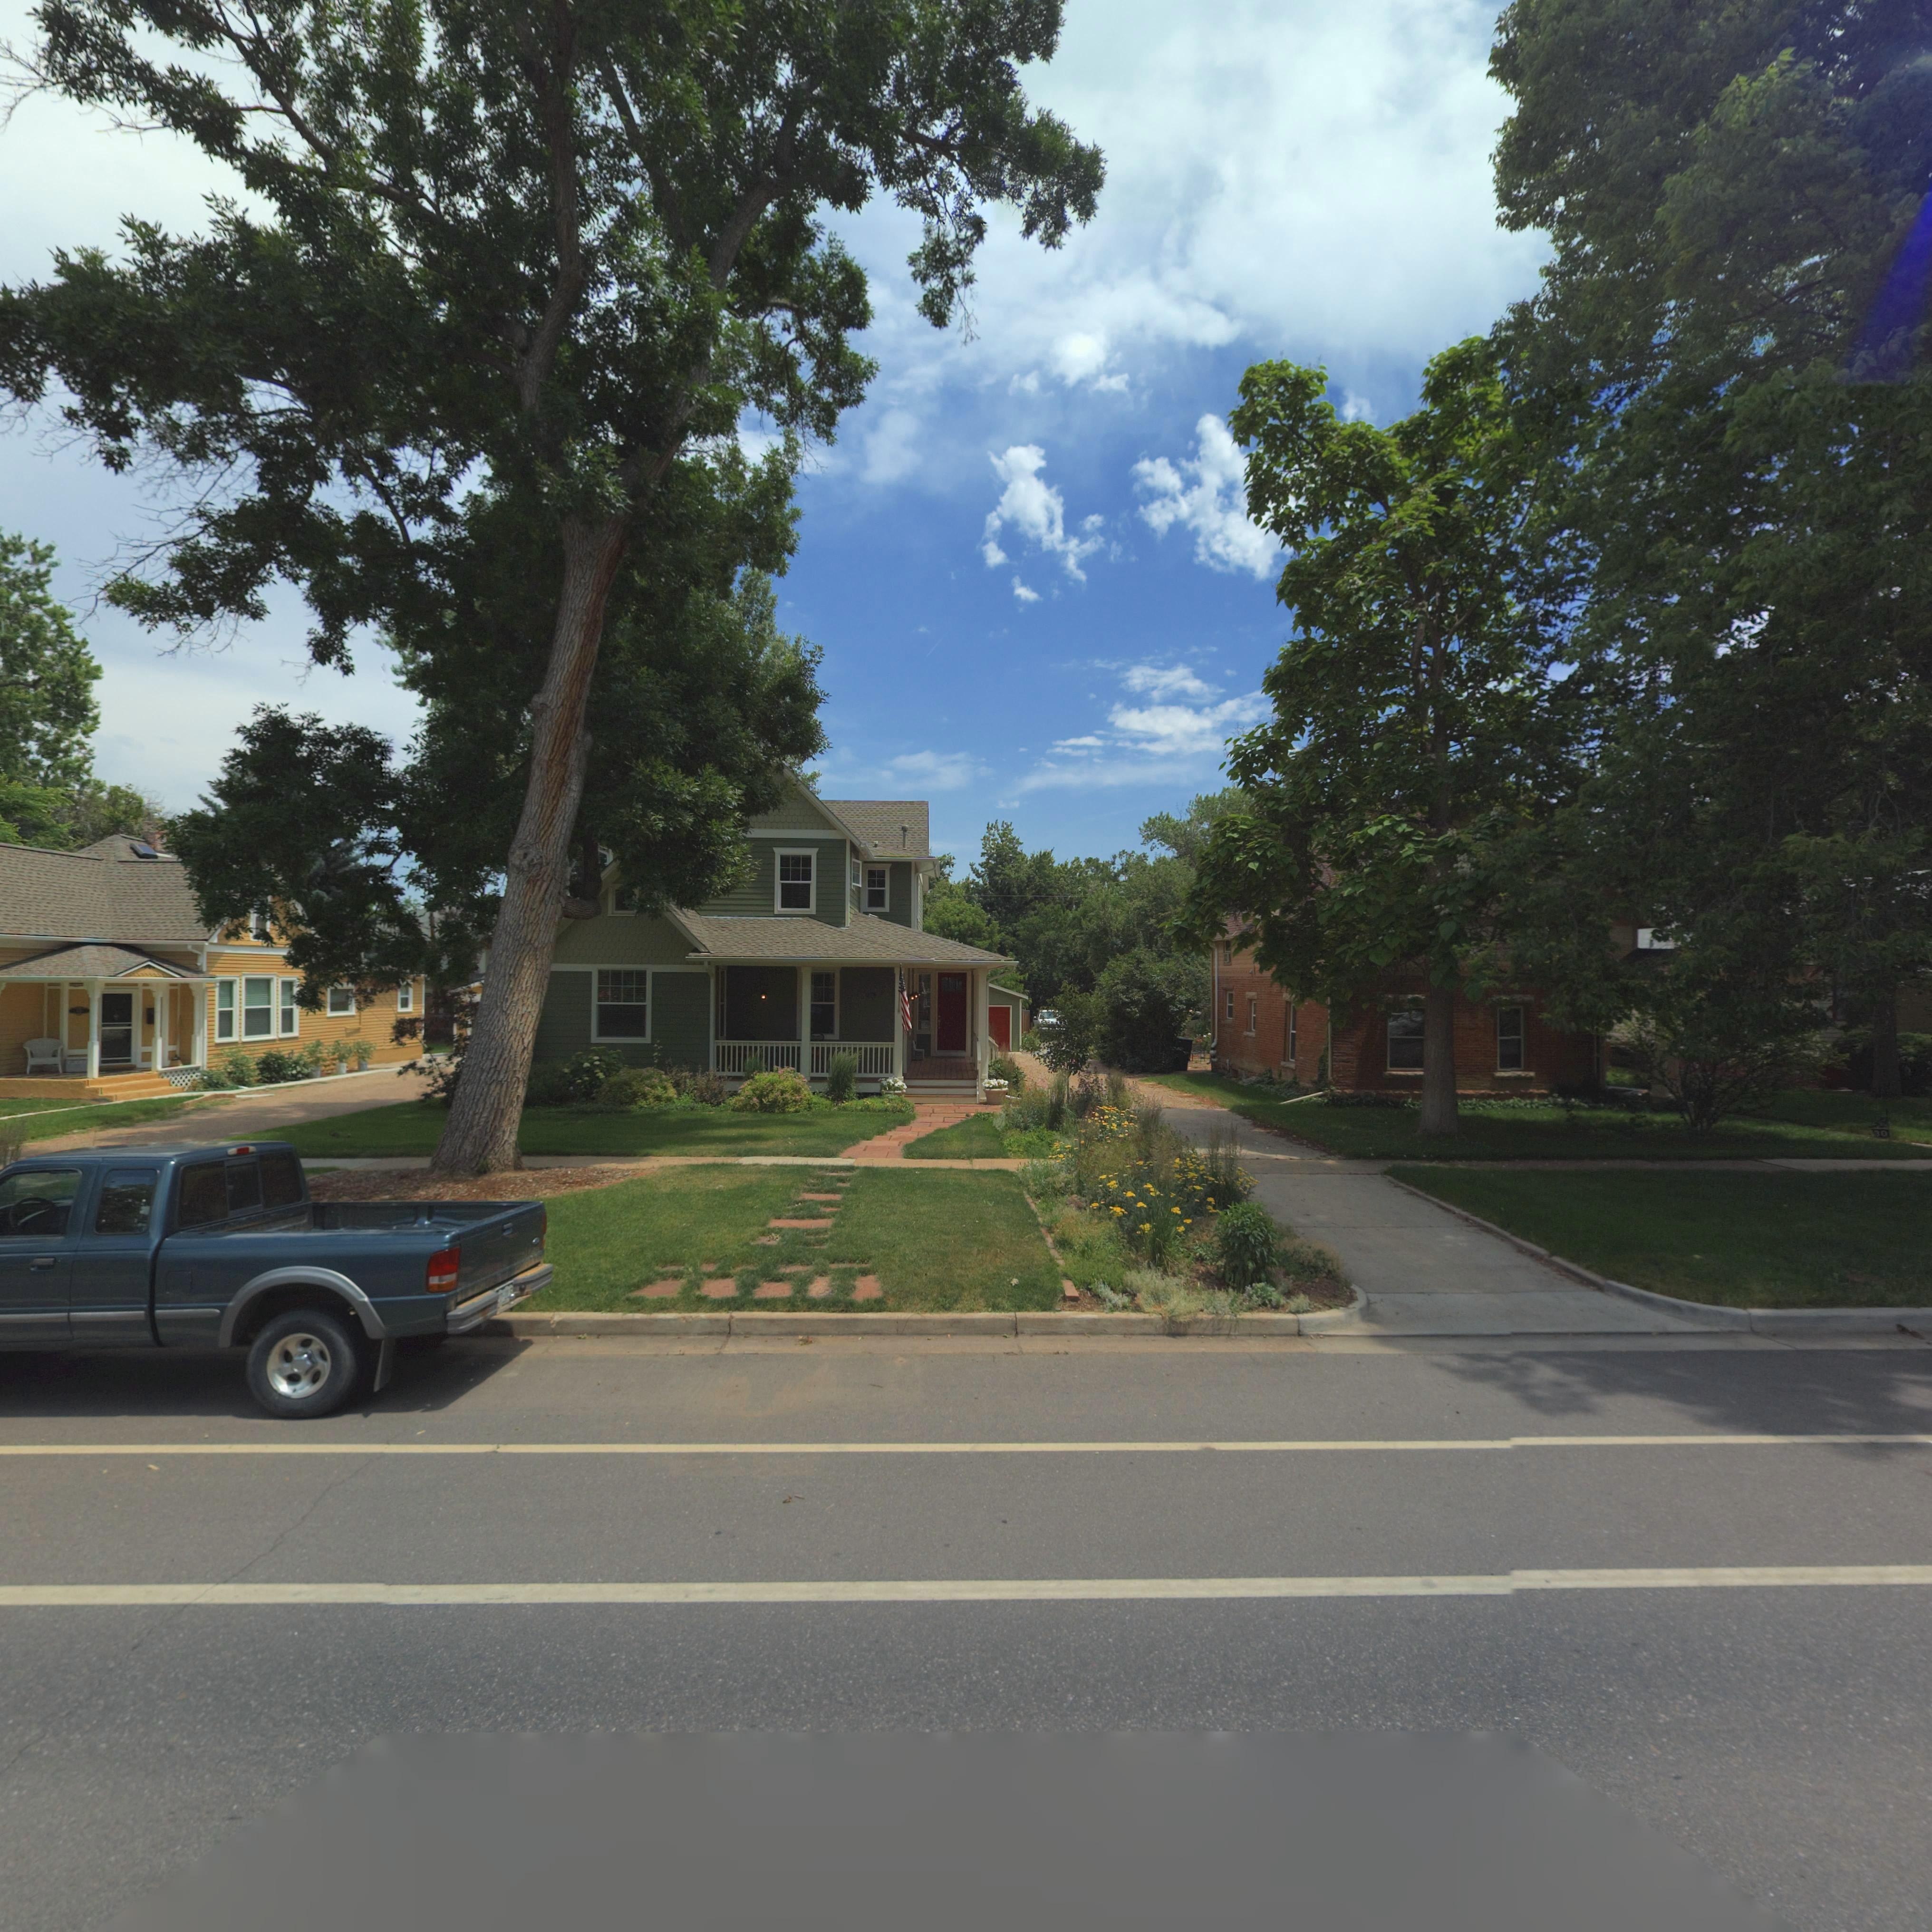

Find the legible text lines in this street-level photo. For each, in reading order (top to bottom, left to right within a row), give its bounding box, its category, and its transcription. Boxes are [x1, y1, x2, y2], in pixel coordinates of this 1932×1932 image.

[1874, 1130, 1888, 1137] StreetNumber: 30